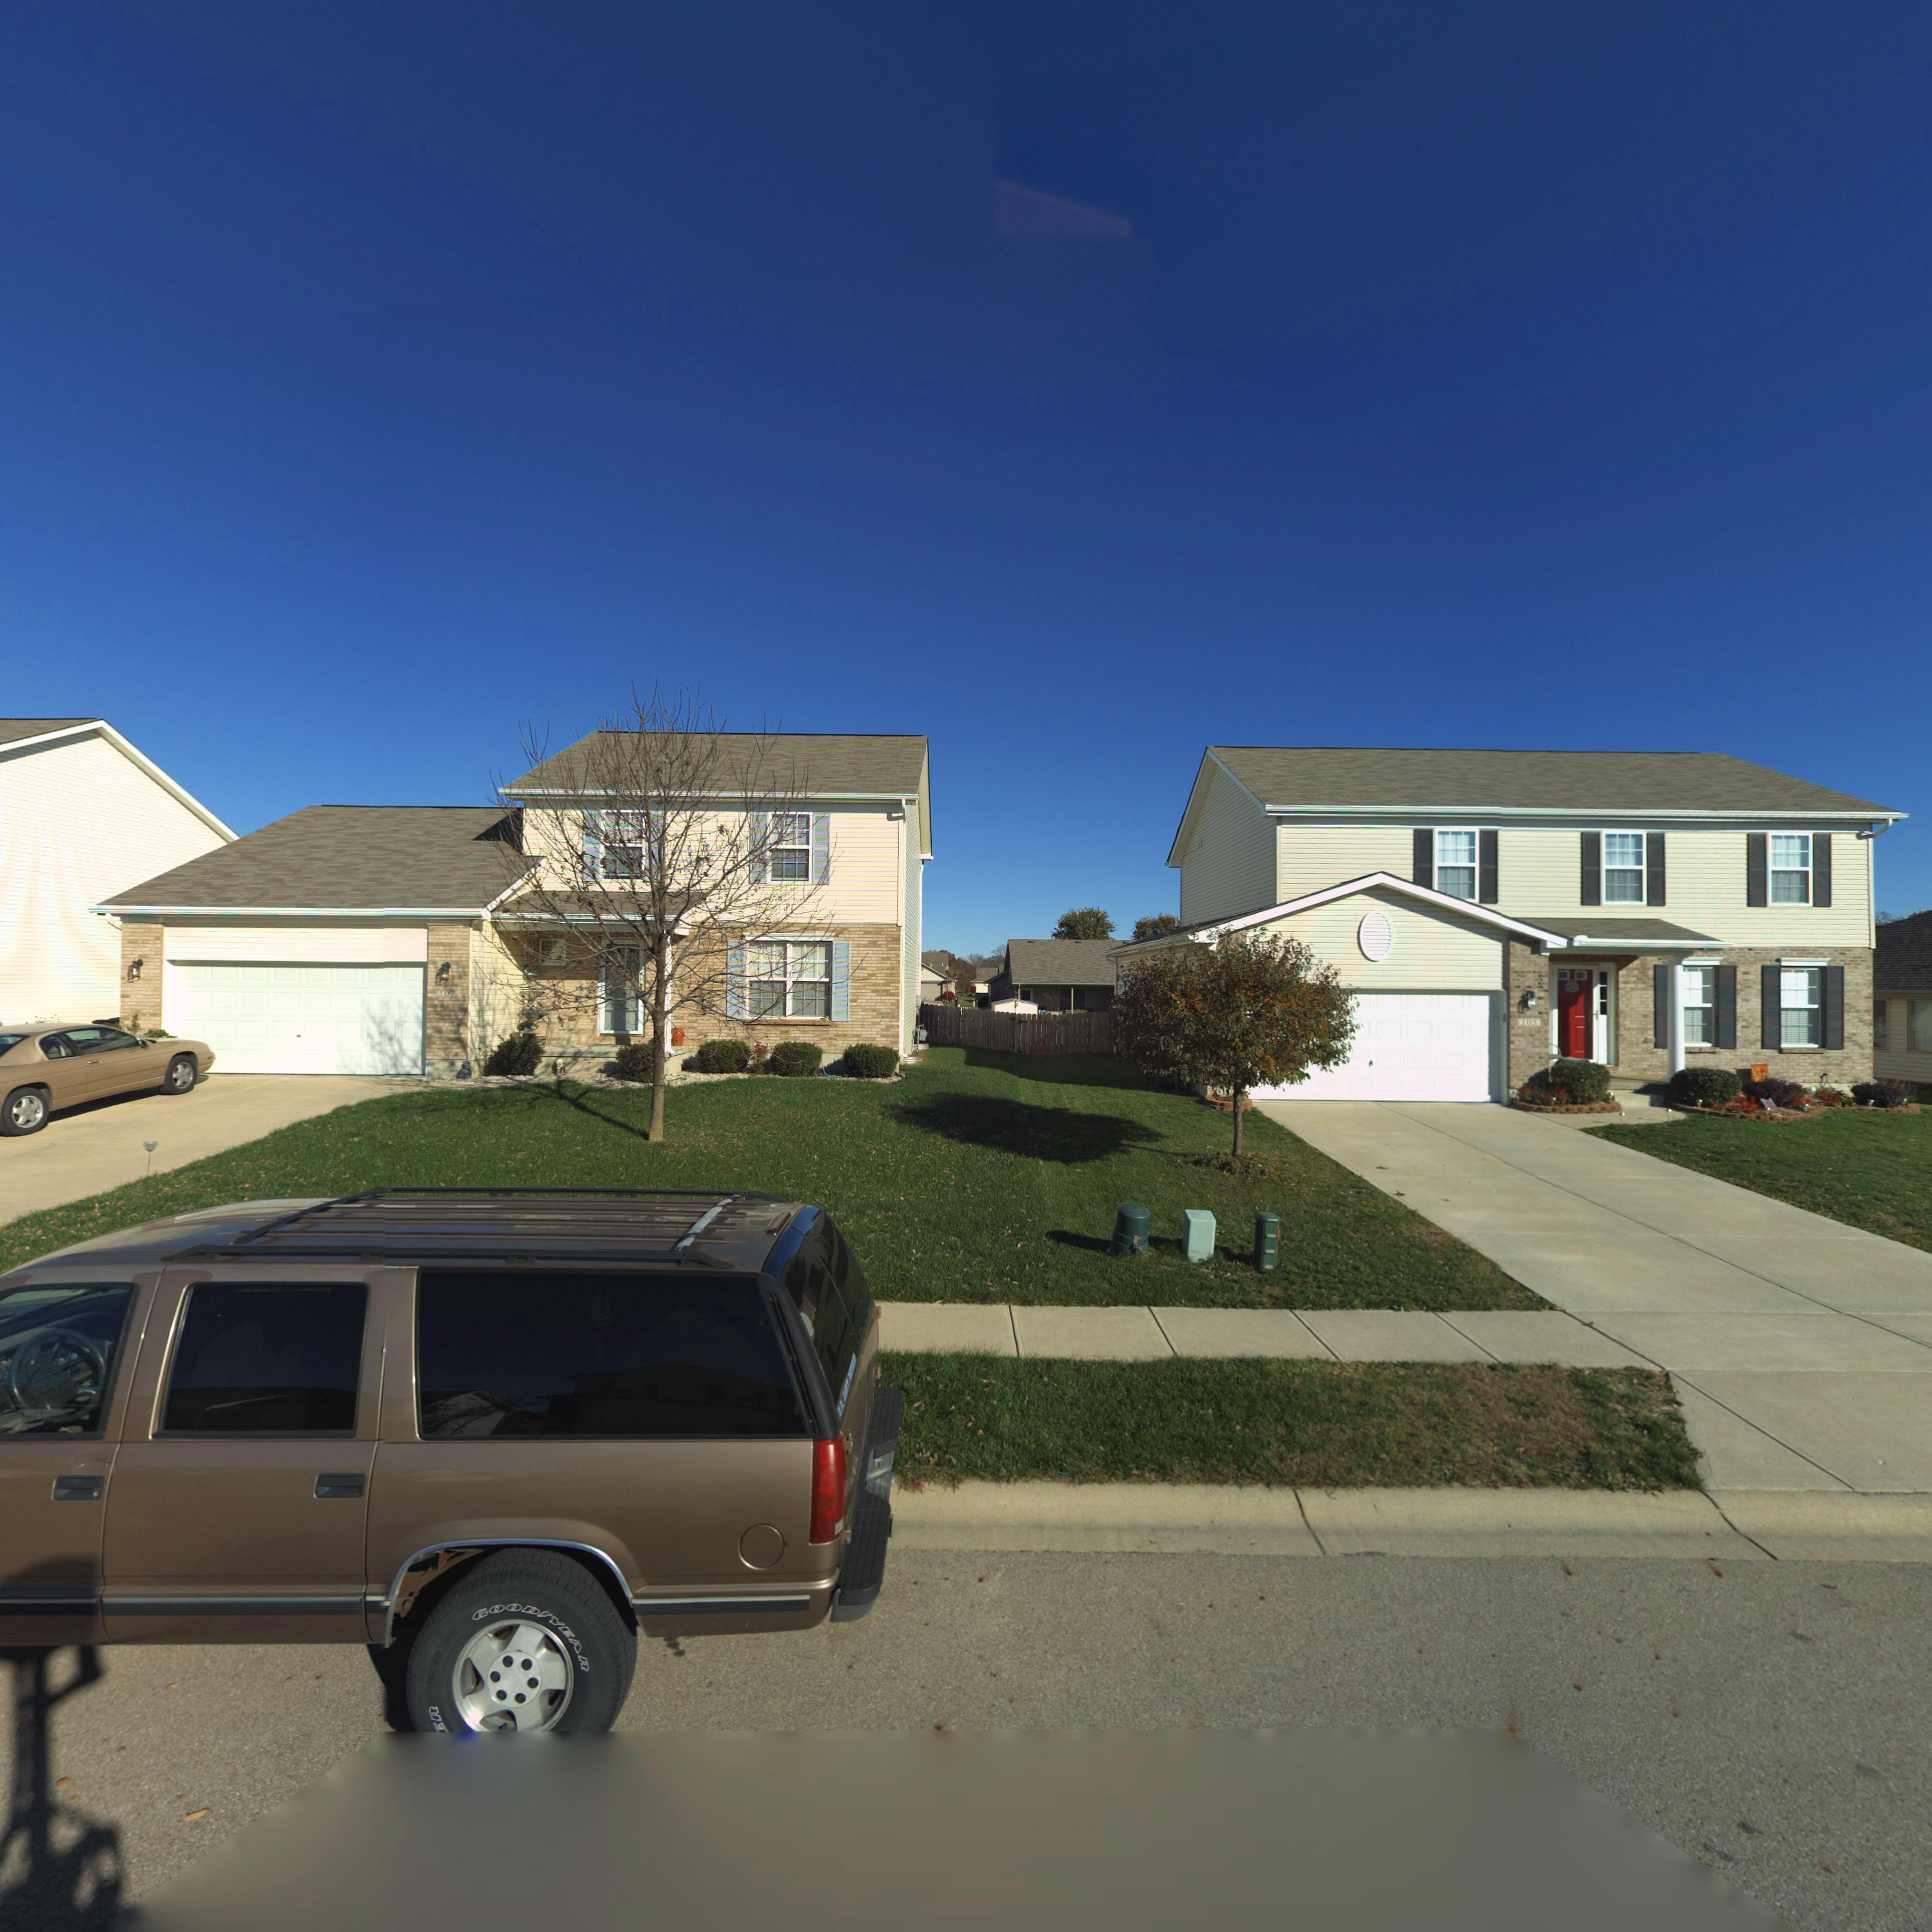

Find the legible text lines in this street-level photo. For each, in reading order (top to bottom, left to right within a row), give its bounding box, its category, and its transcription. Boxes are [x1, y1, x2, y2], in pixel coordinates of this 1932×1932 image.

[439, 990, 455, 997] StreetNumber: 107
[1521, 1018, 1538, 1026] StreetNumber: 105